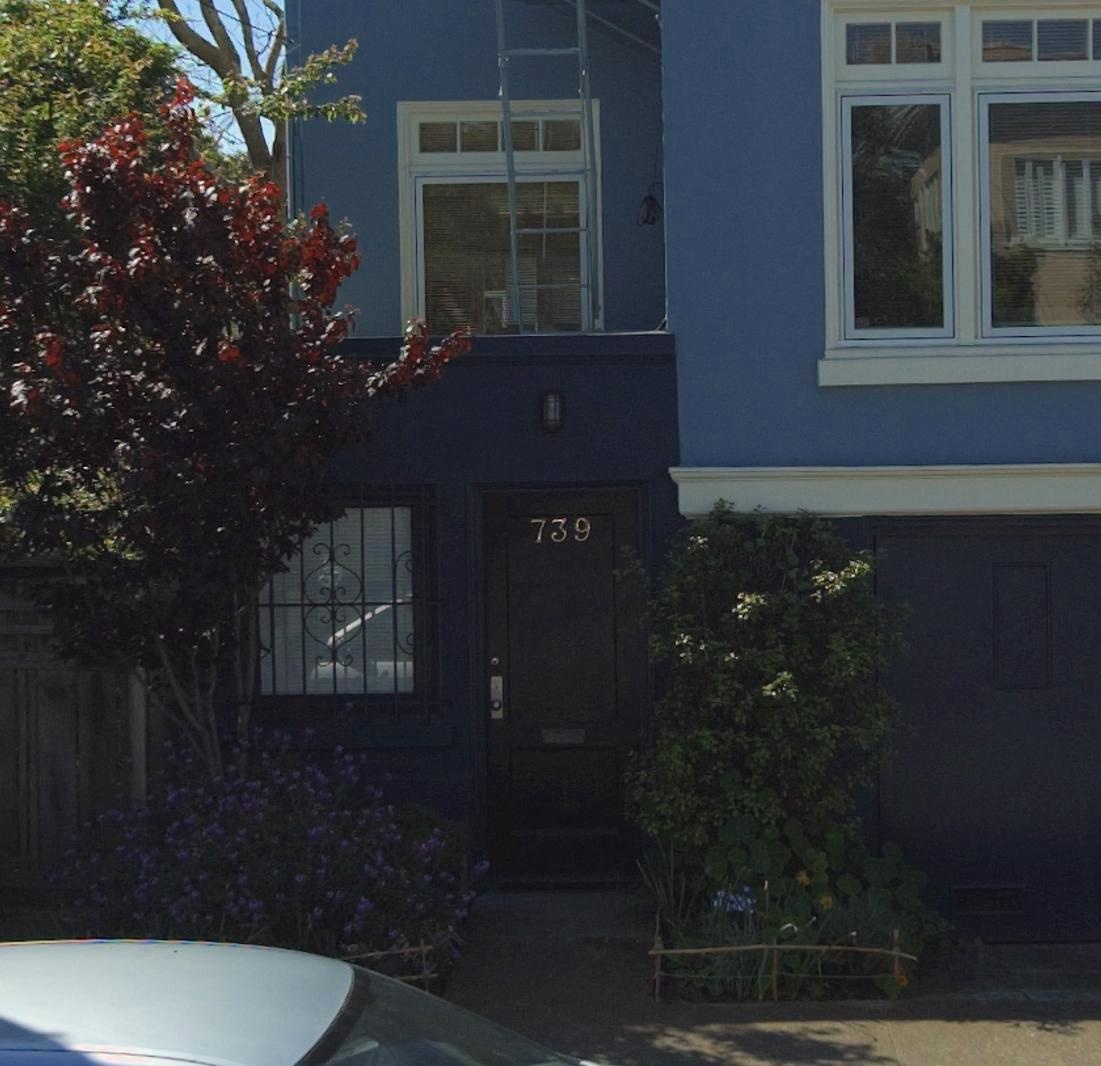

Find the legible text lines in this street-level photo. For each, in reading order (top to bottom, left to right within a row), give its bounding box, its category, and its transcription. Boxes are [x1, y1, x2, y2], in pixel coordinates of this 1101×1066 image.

[528, 514, 592, 547] StreetNumber: 739